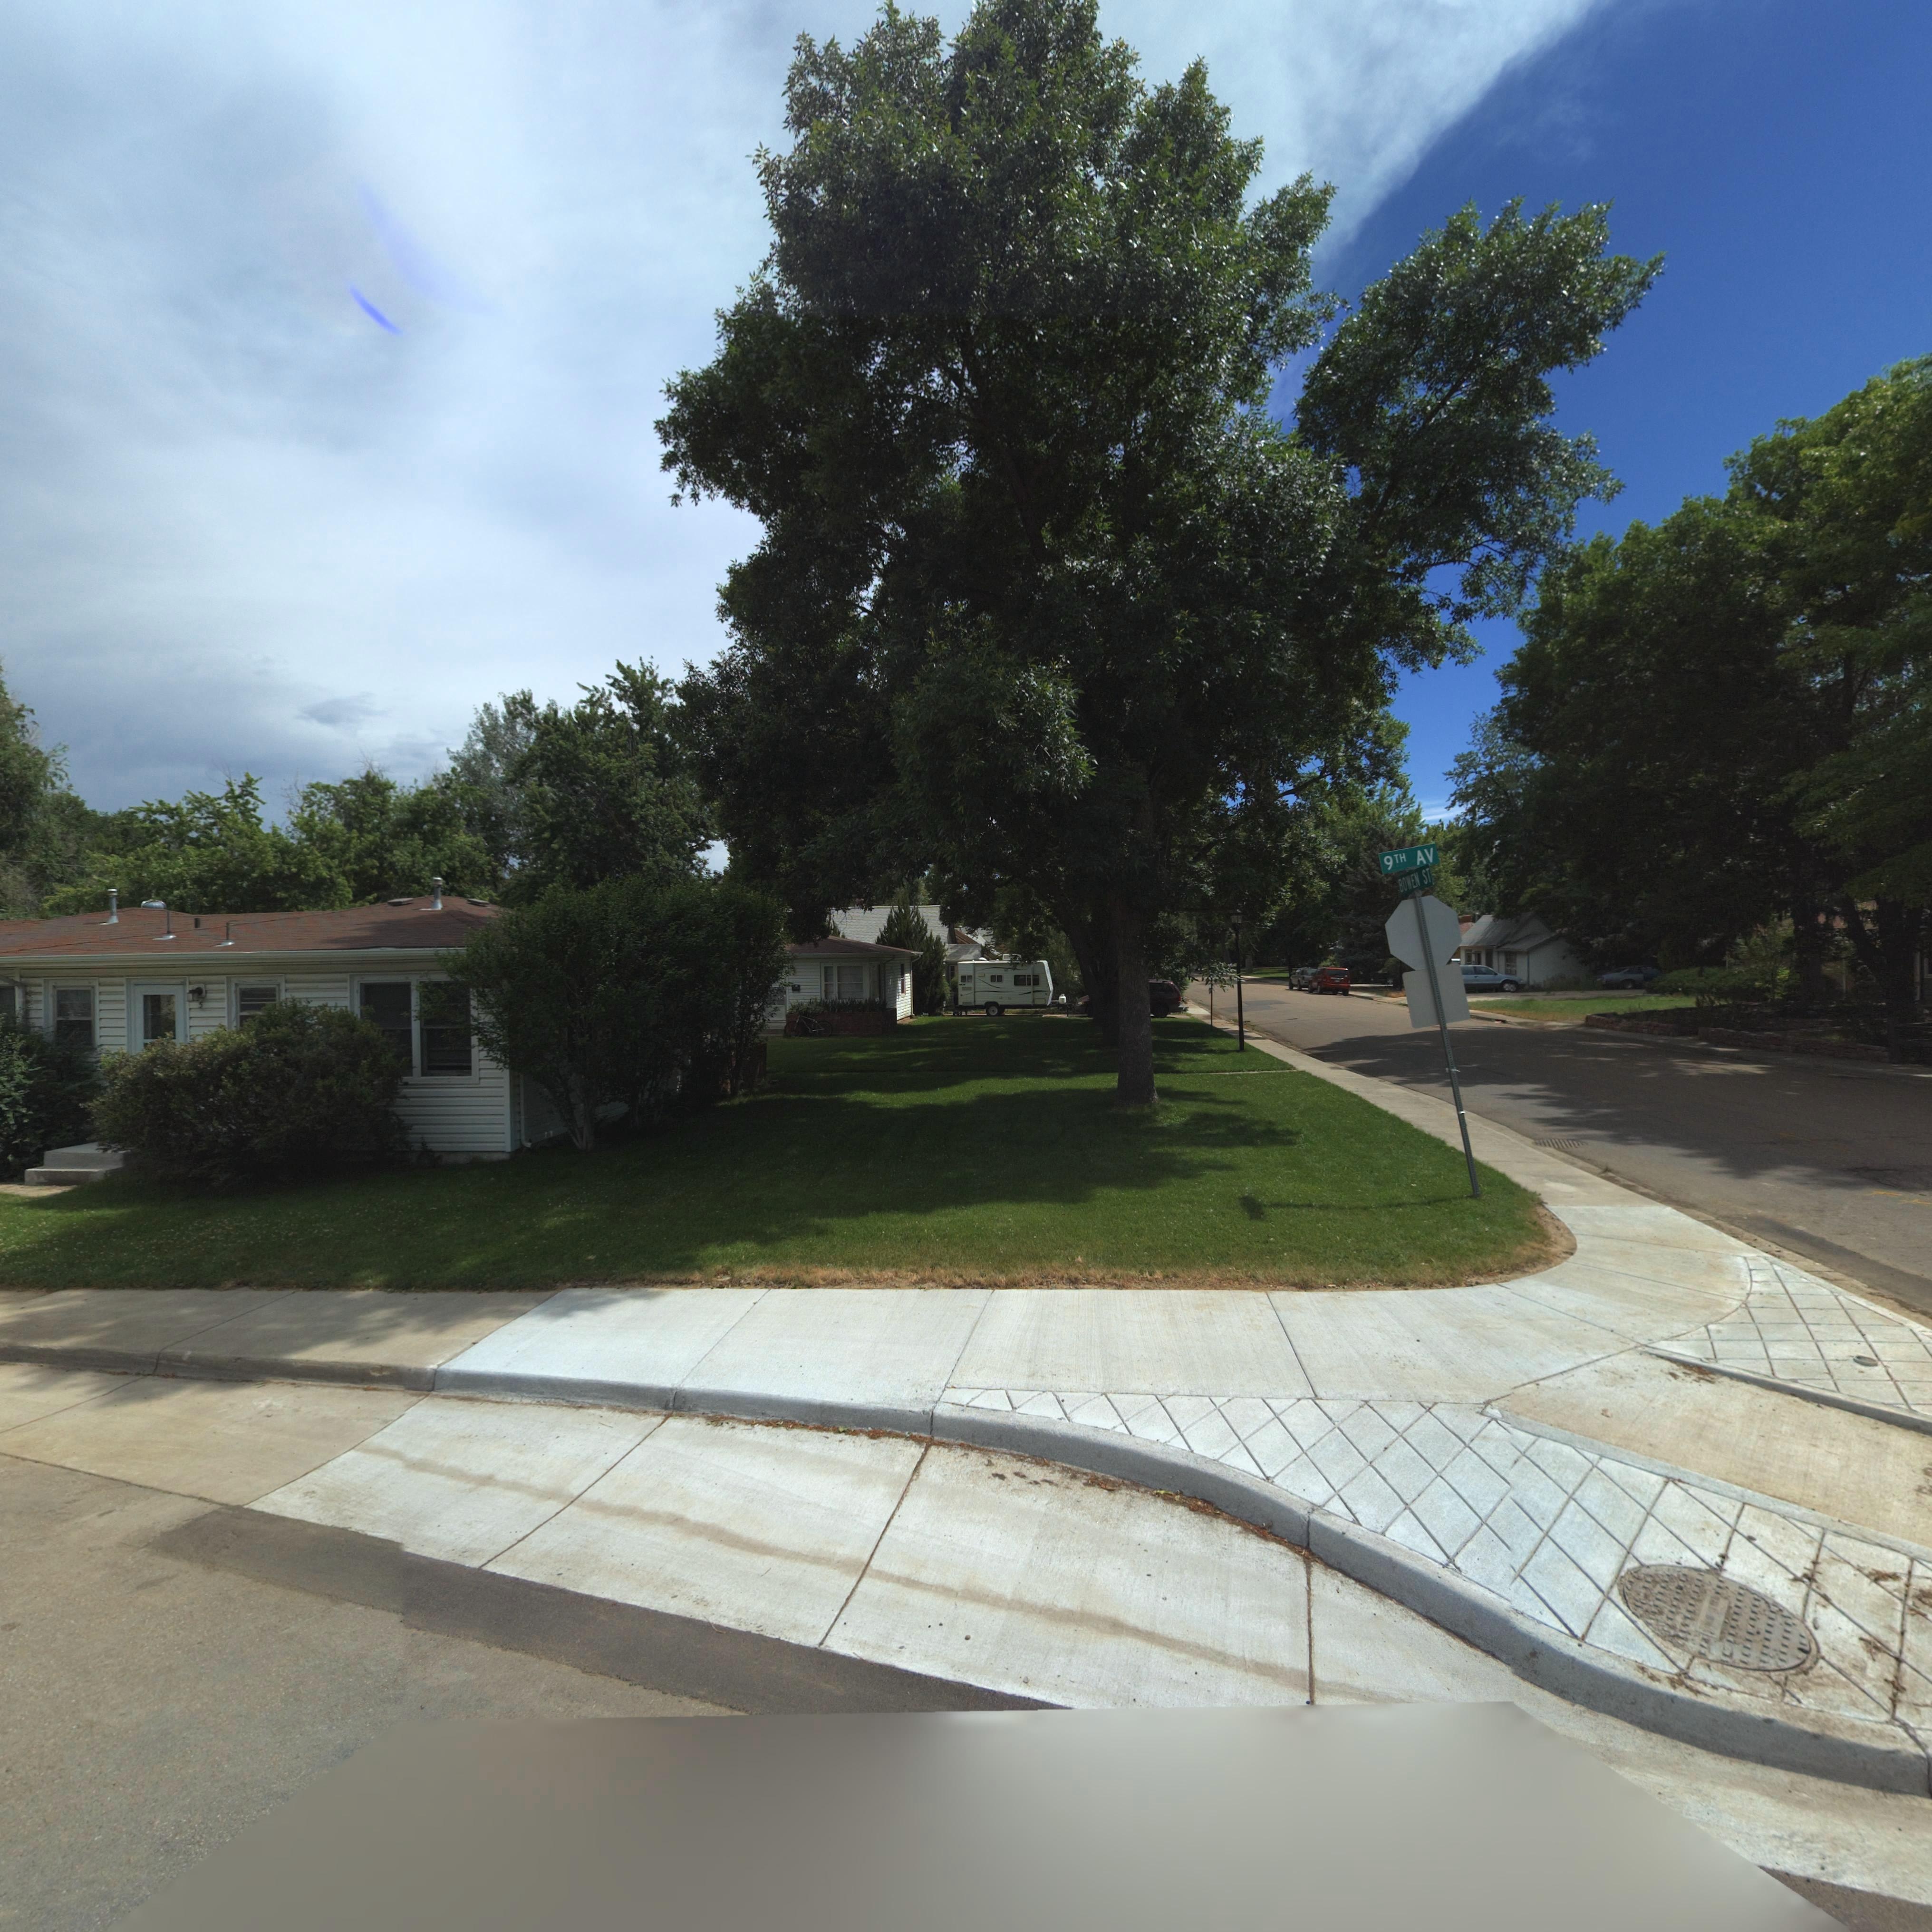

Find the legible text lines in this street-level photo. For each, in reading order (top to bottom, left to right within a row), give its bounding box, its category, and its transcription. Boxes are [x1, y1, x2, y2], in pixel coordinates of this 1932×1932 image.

[1383, 847, 1433, 871] StreetName: 9TH AV
[1398, 867, 1431, 893] StreetName: BOWEN ST